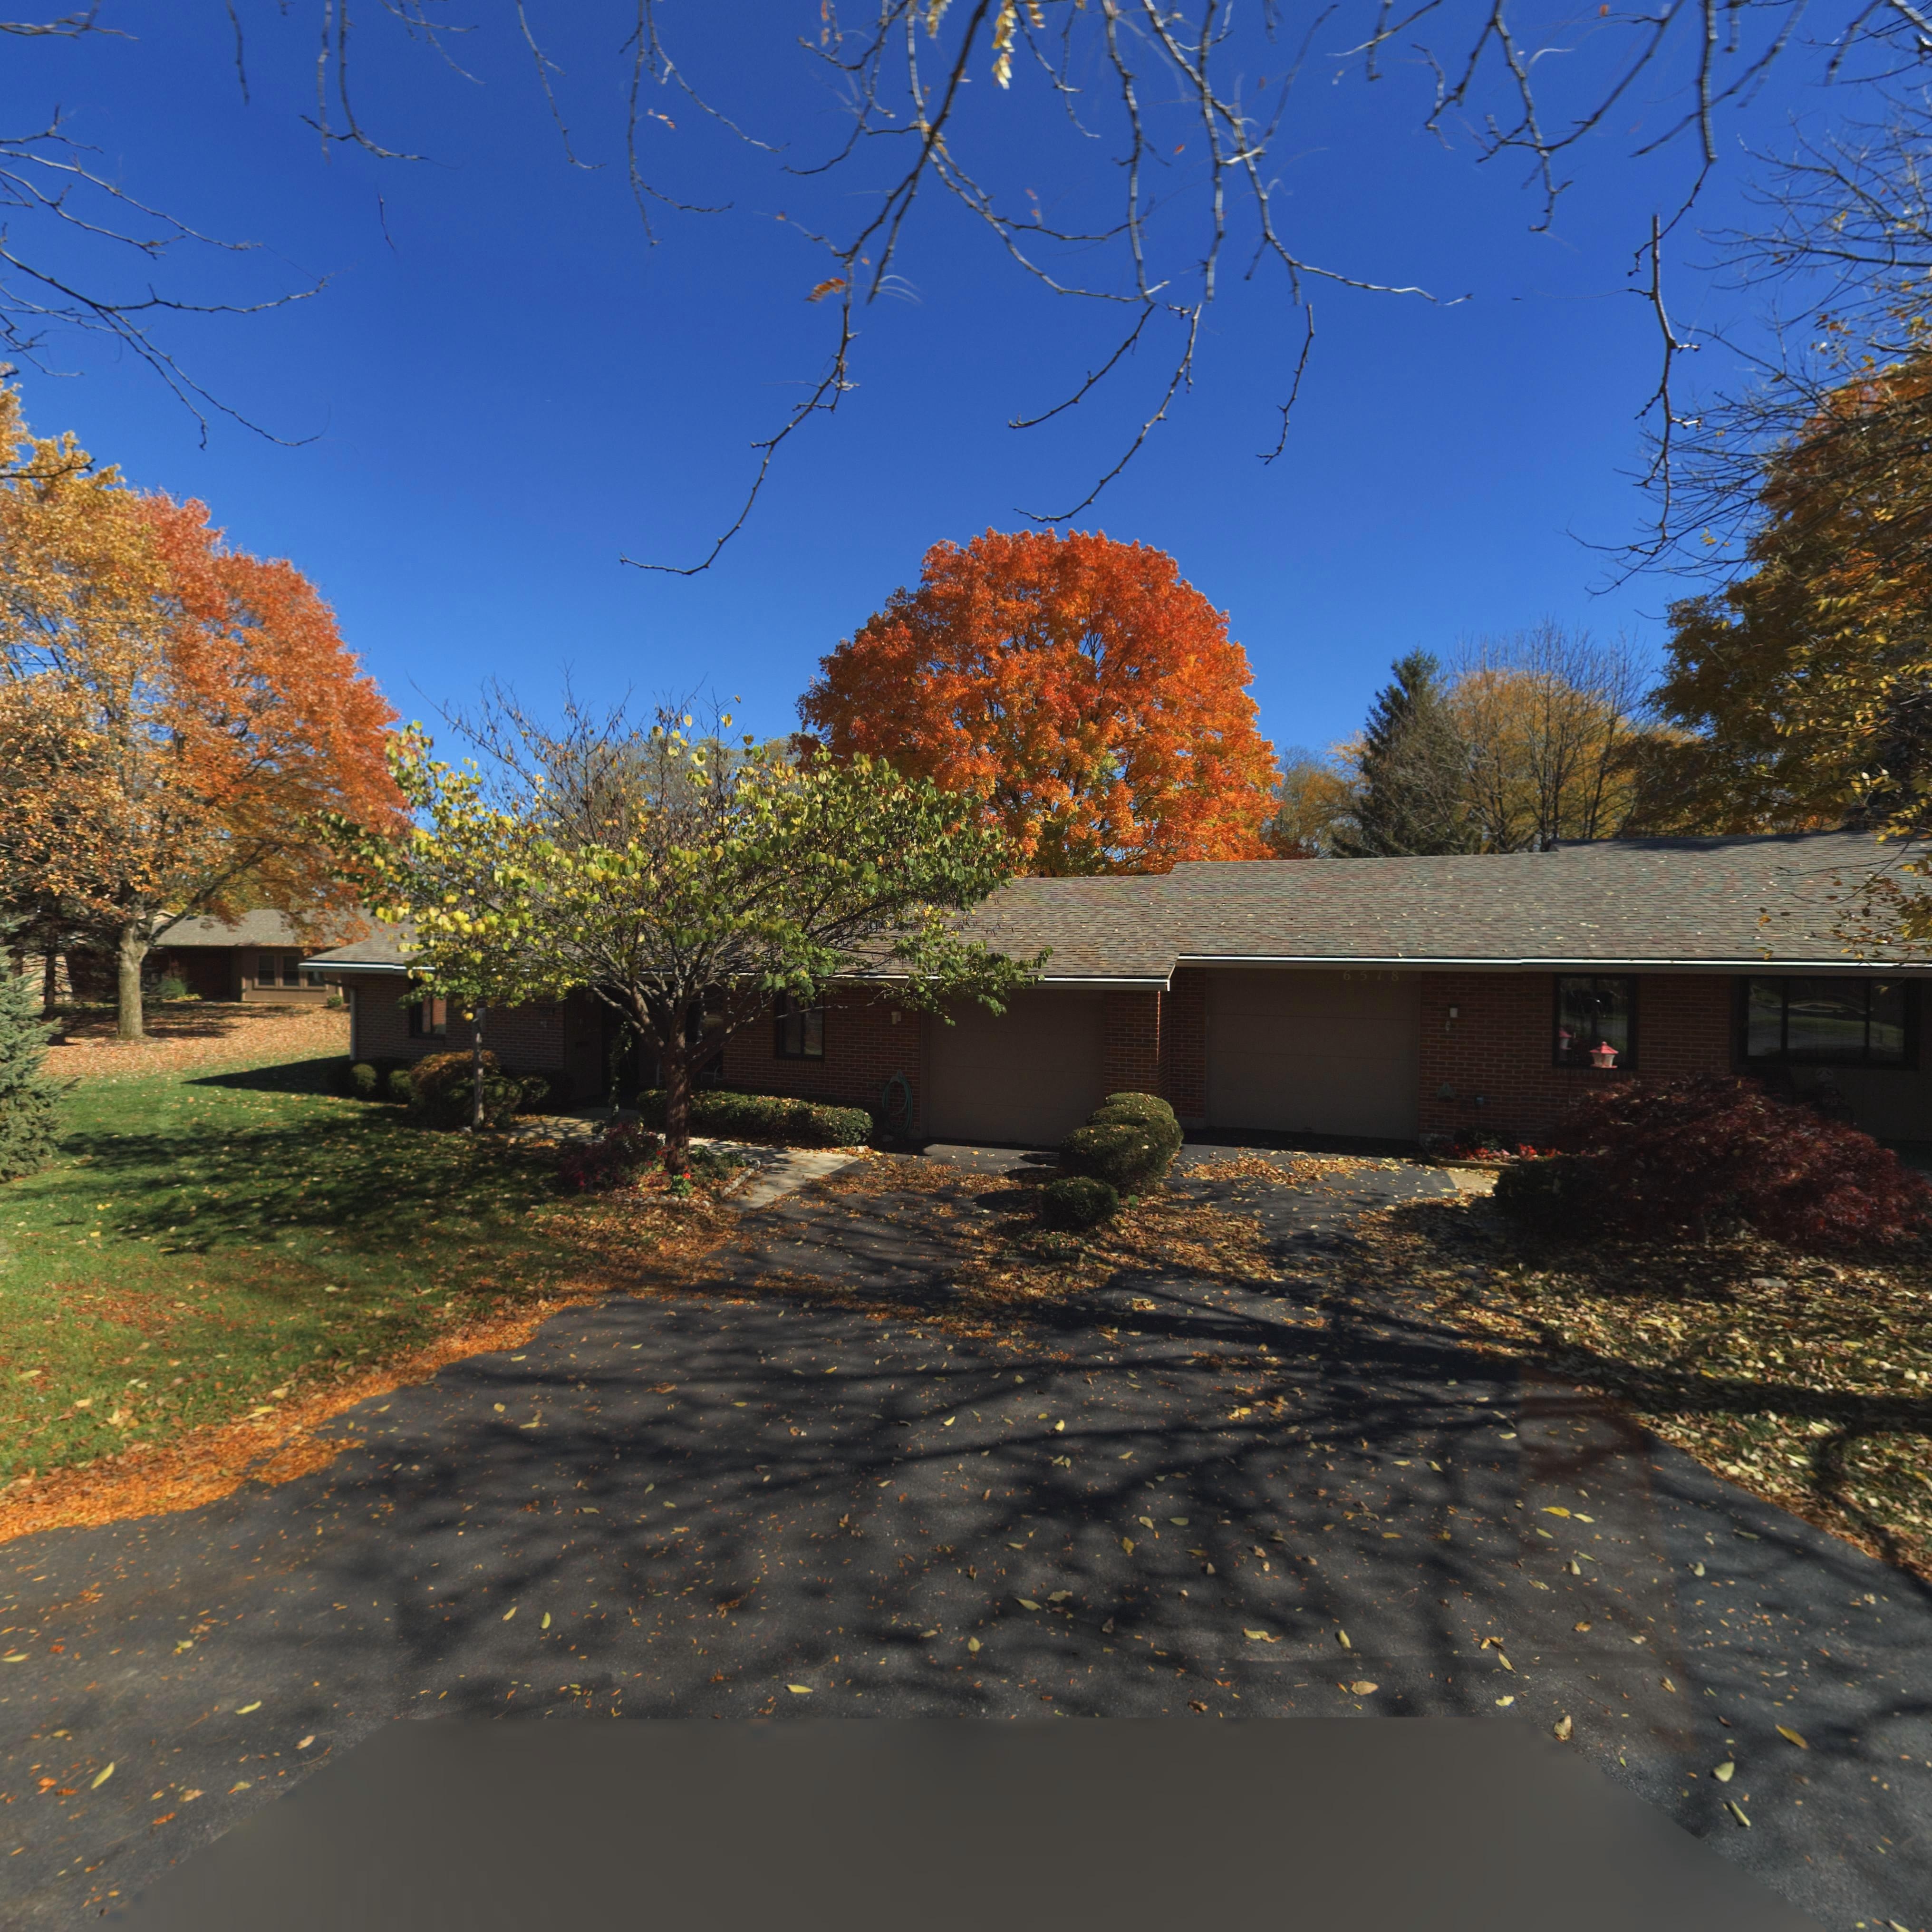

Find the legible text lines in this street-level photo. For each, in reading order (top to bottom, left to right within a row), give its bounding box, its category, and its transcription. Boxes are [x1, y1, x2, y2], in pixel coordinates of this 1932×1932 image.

[1343, 969, 1400, 982] StreetNumber: 6518